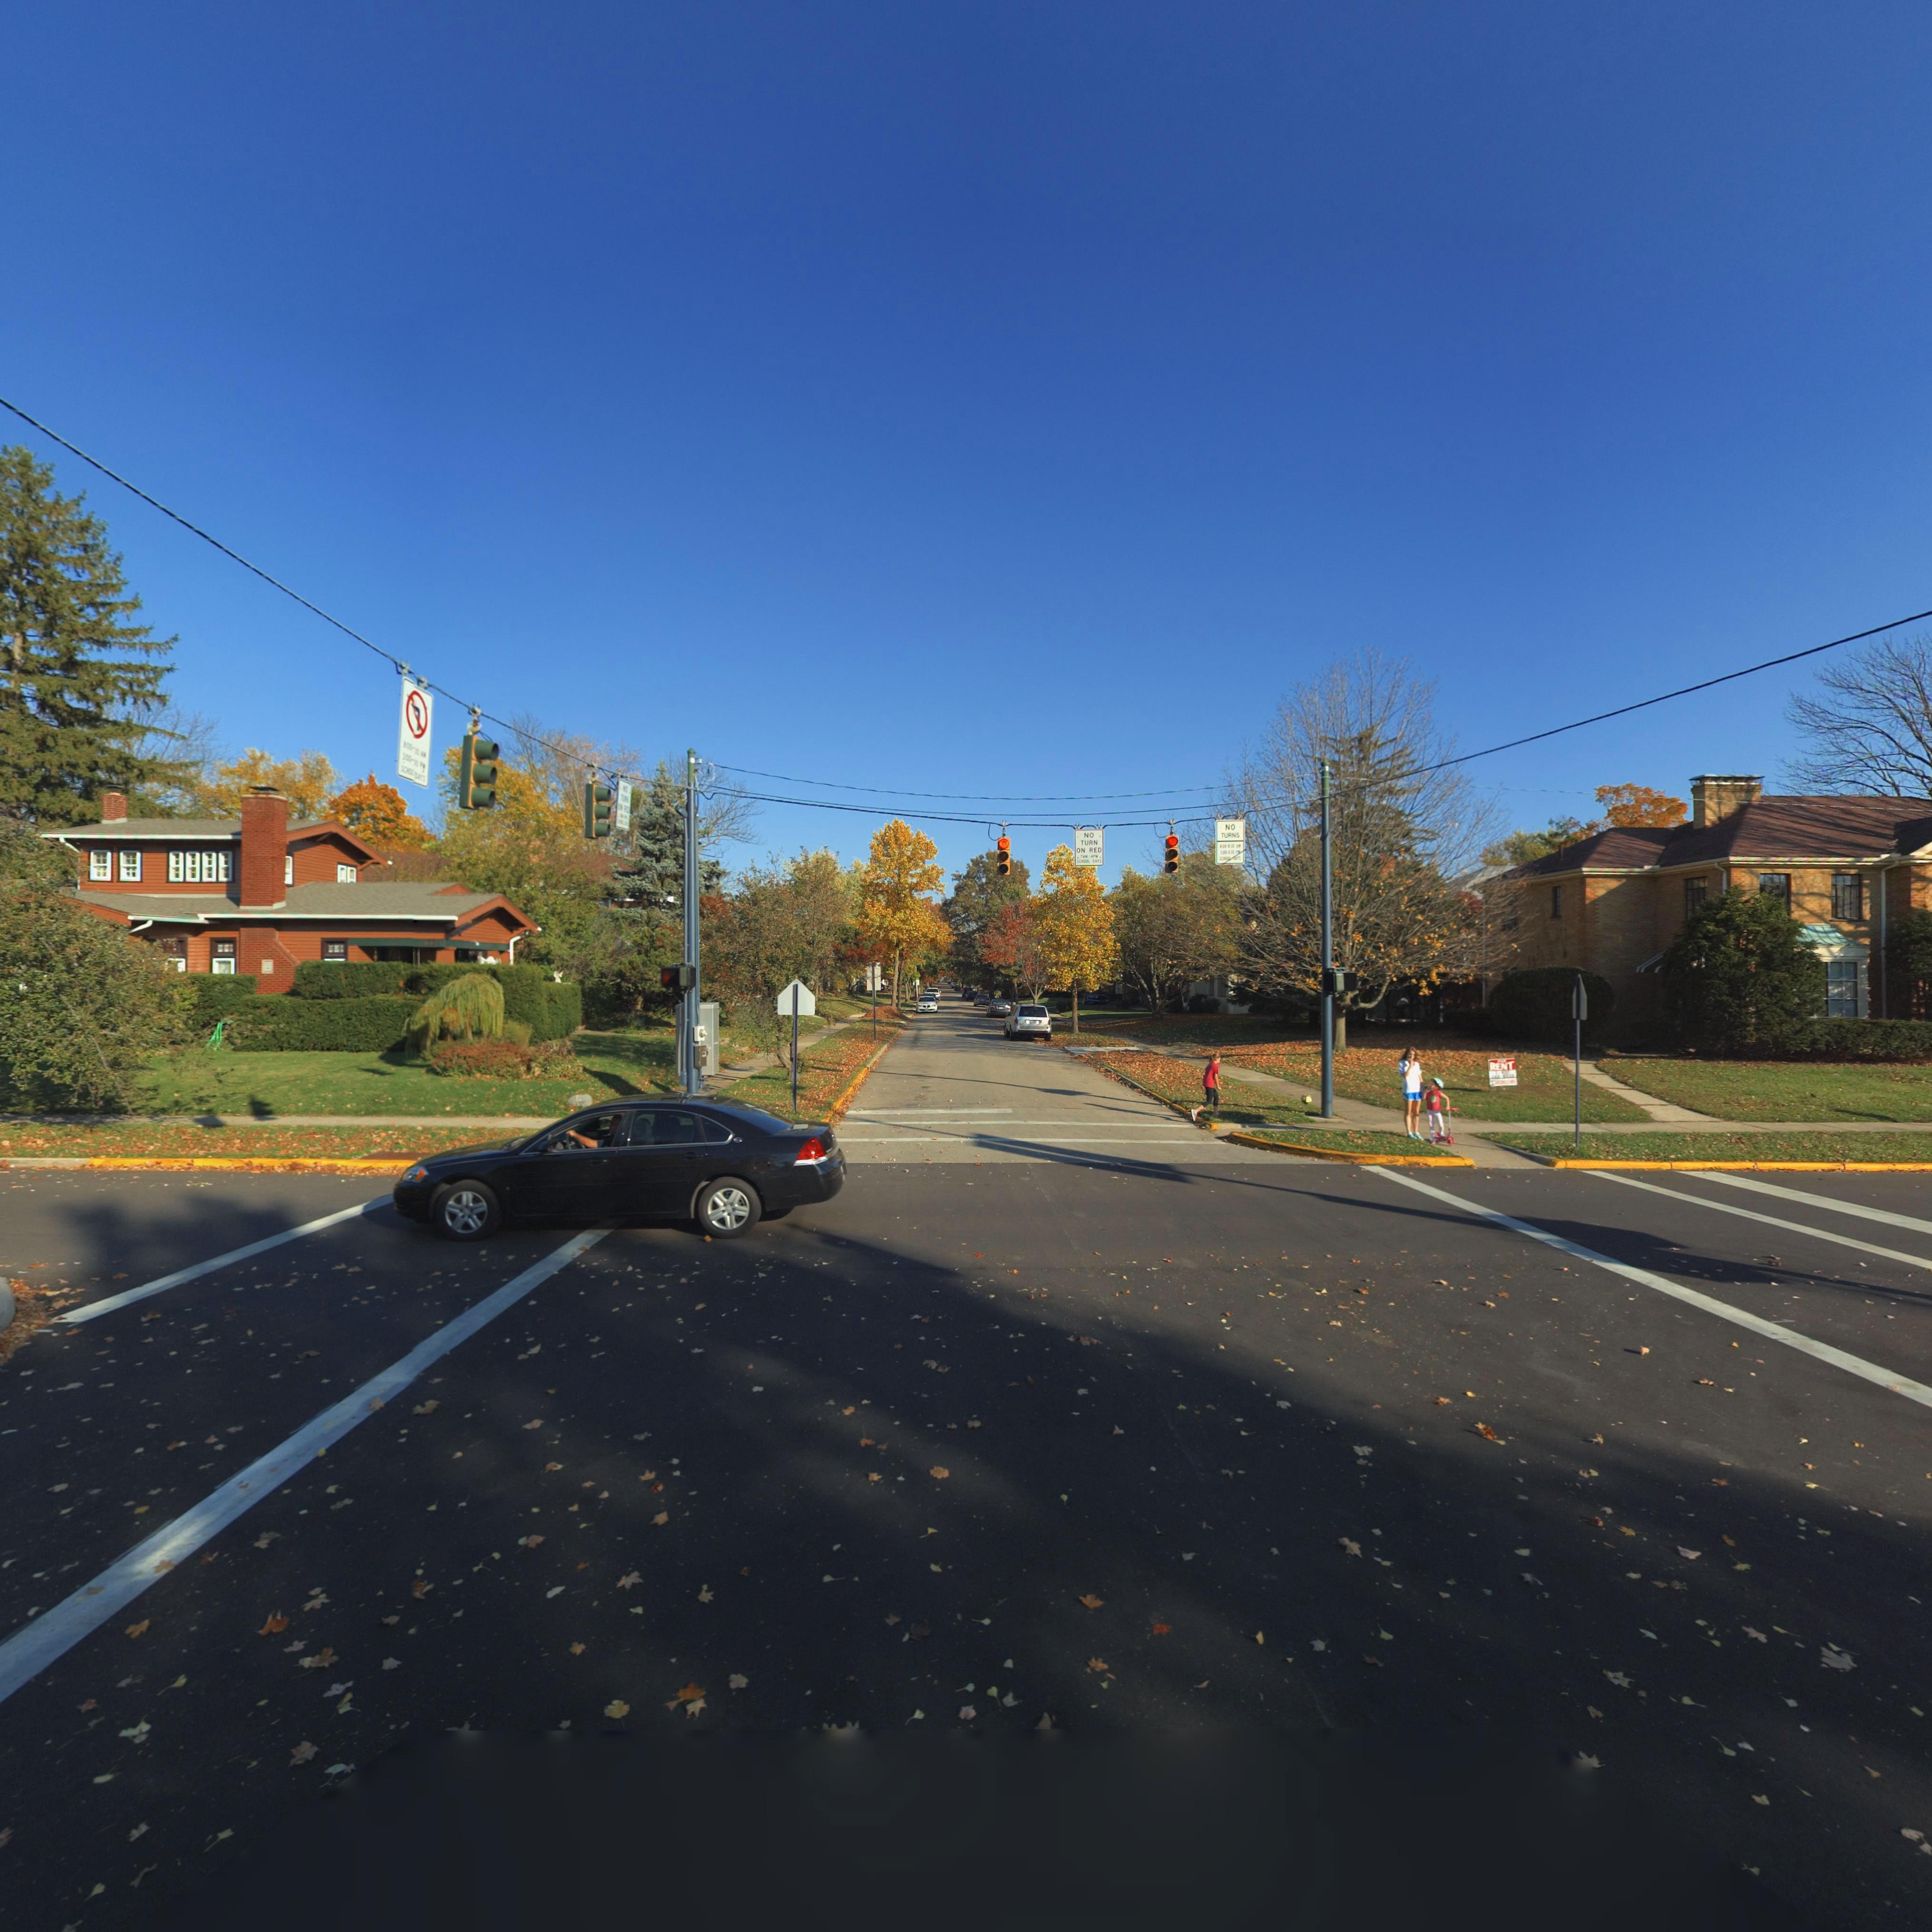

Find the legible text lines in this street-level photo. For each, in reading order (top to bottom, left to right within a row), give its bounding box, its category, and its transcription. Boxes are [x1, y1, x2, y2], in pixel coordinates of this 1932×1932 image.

[421, 938, 442, 946] StreetNumber: 1624